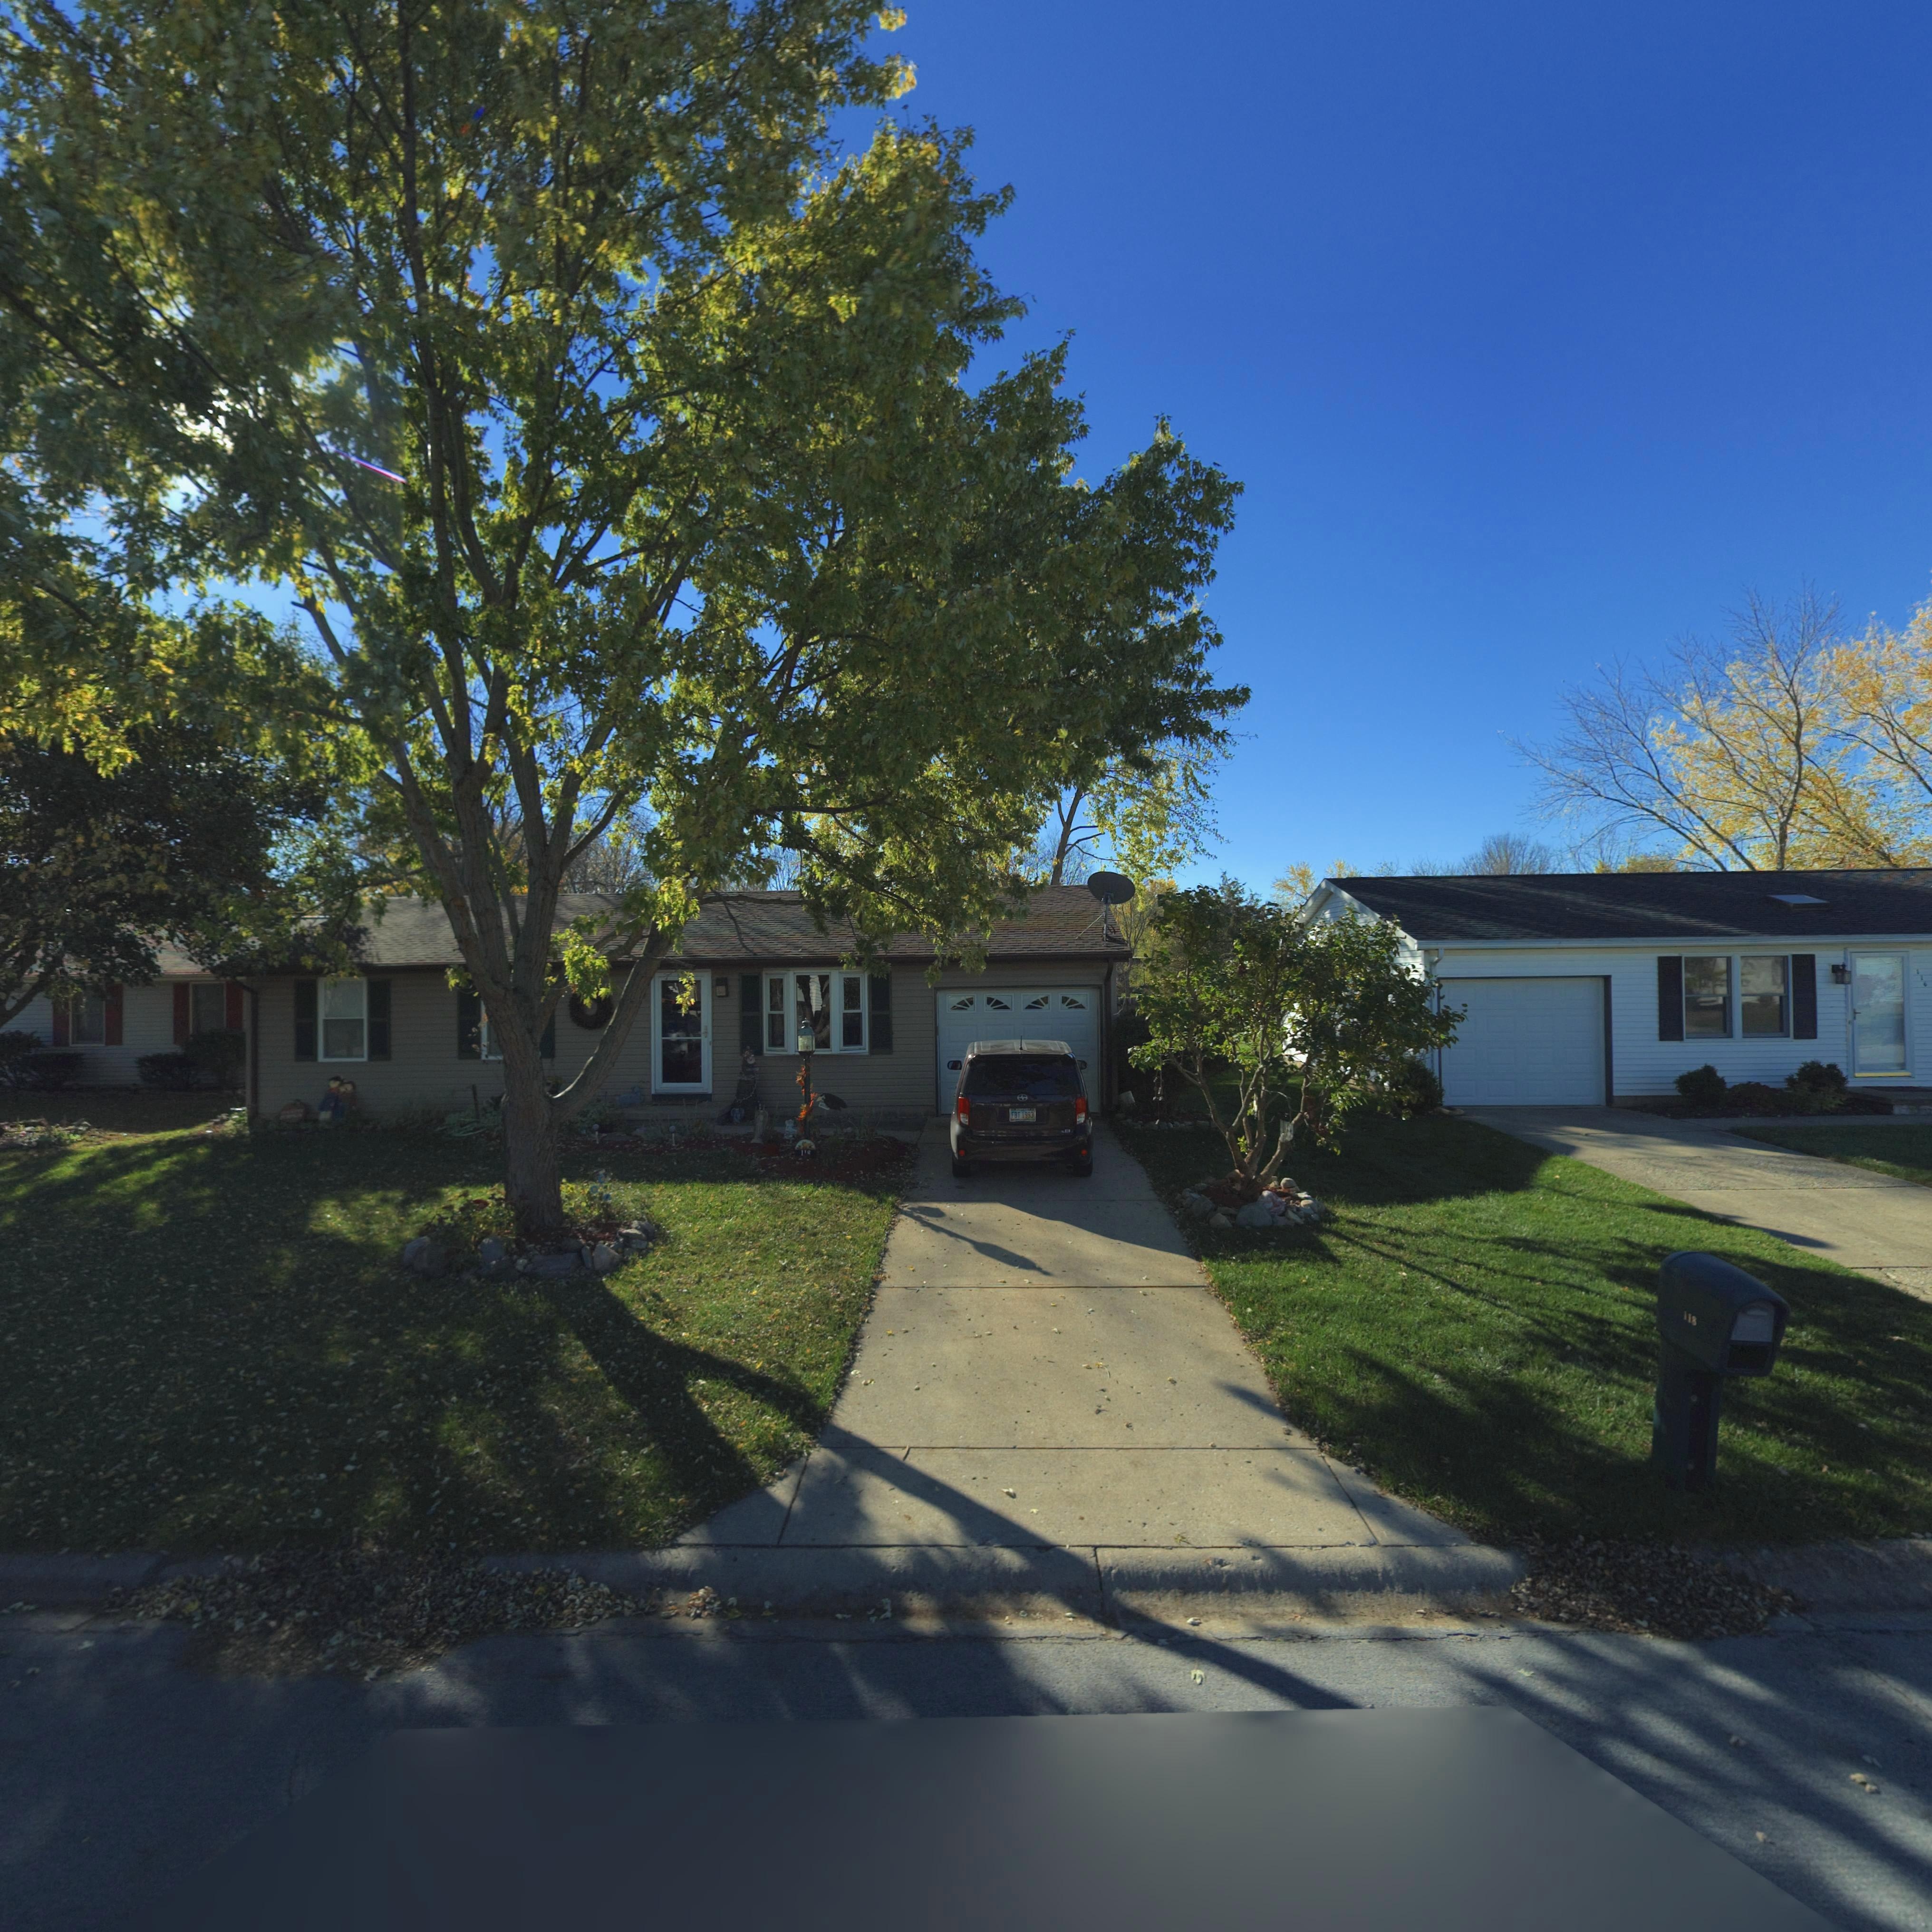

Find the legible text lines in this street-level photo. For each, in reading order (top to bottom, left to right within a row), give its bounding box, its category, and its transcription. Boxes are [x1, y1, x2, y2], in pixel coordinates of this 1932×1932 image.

[1915, 969, 1928, 987] StreetNumber: 116
[801, 1150, 803, 1156] StreetNumber: 1
[1682, 1309, 1698, 1327] StreetNumber: 118